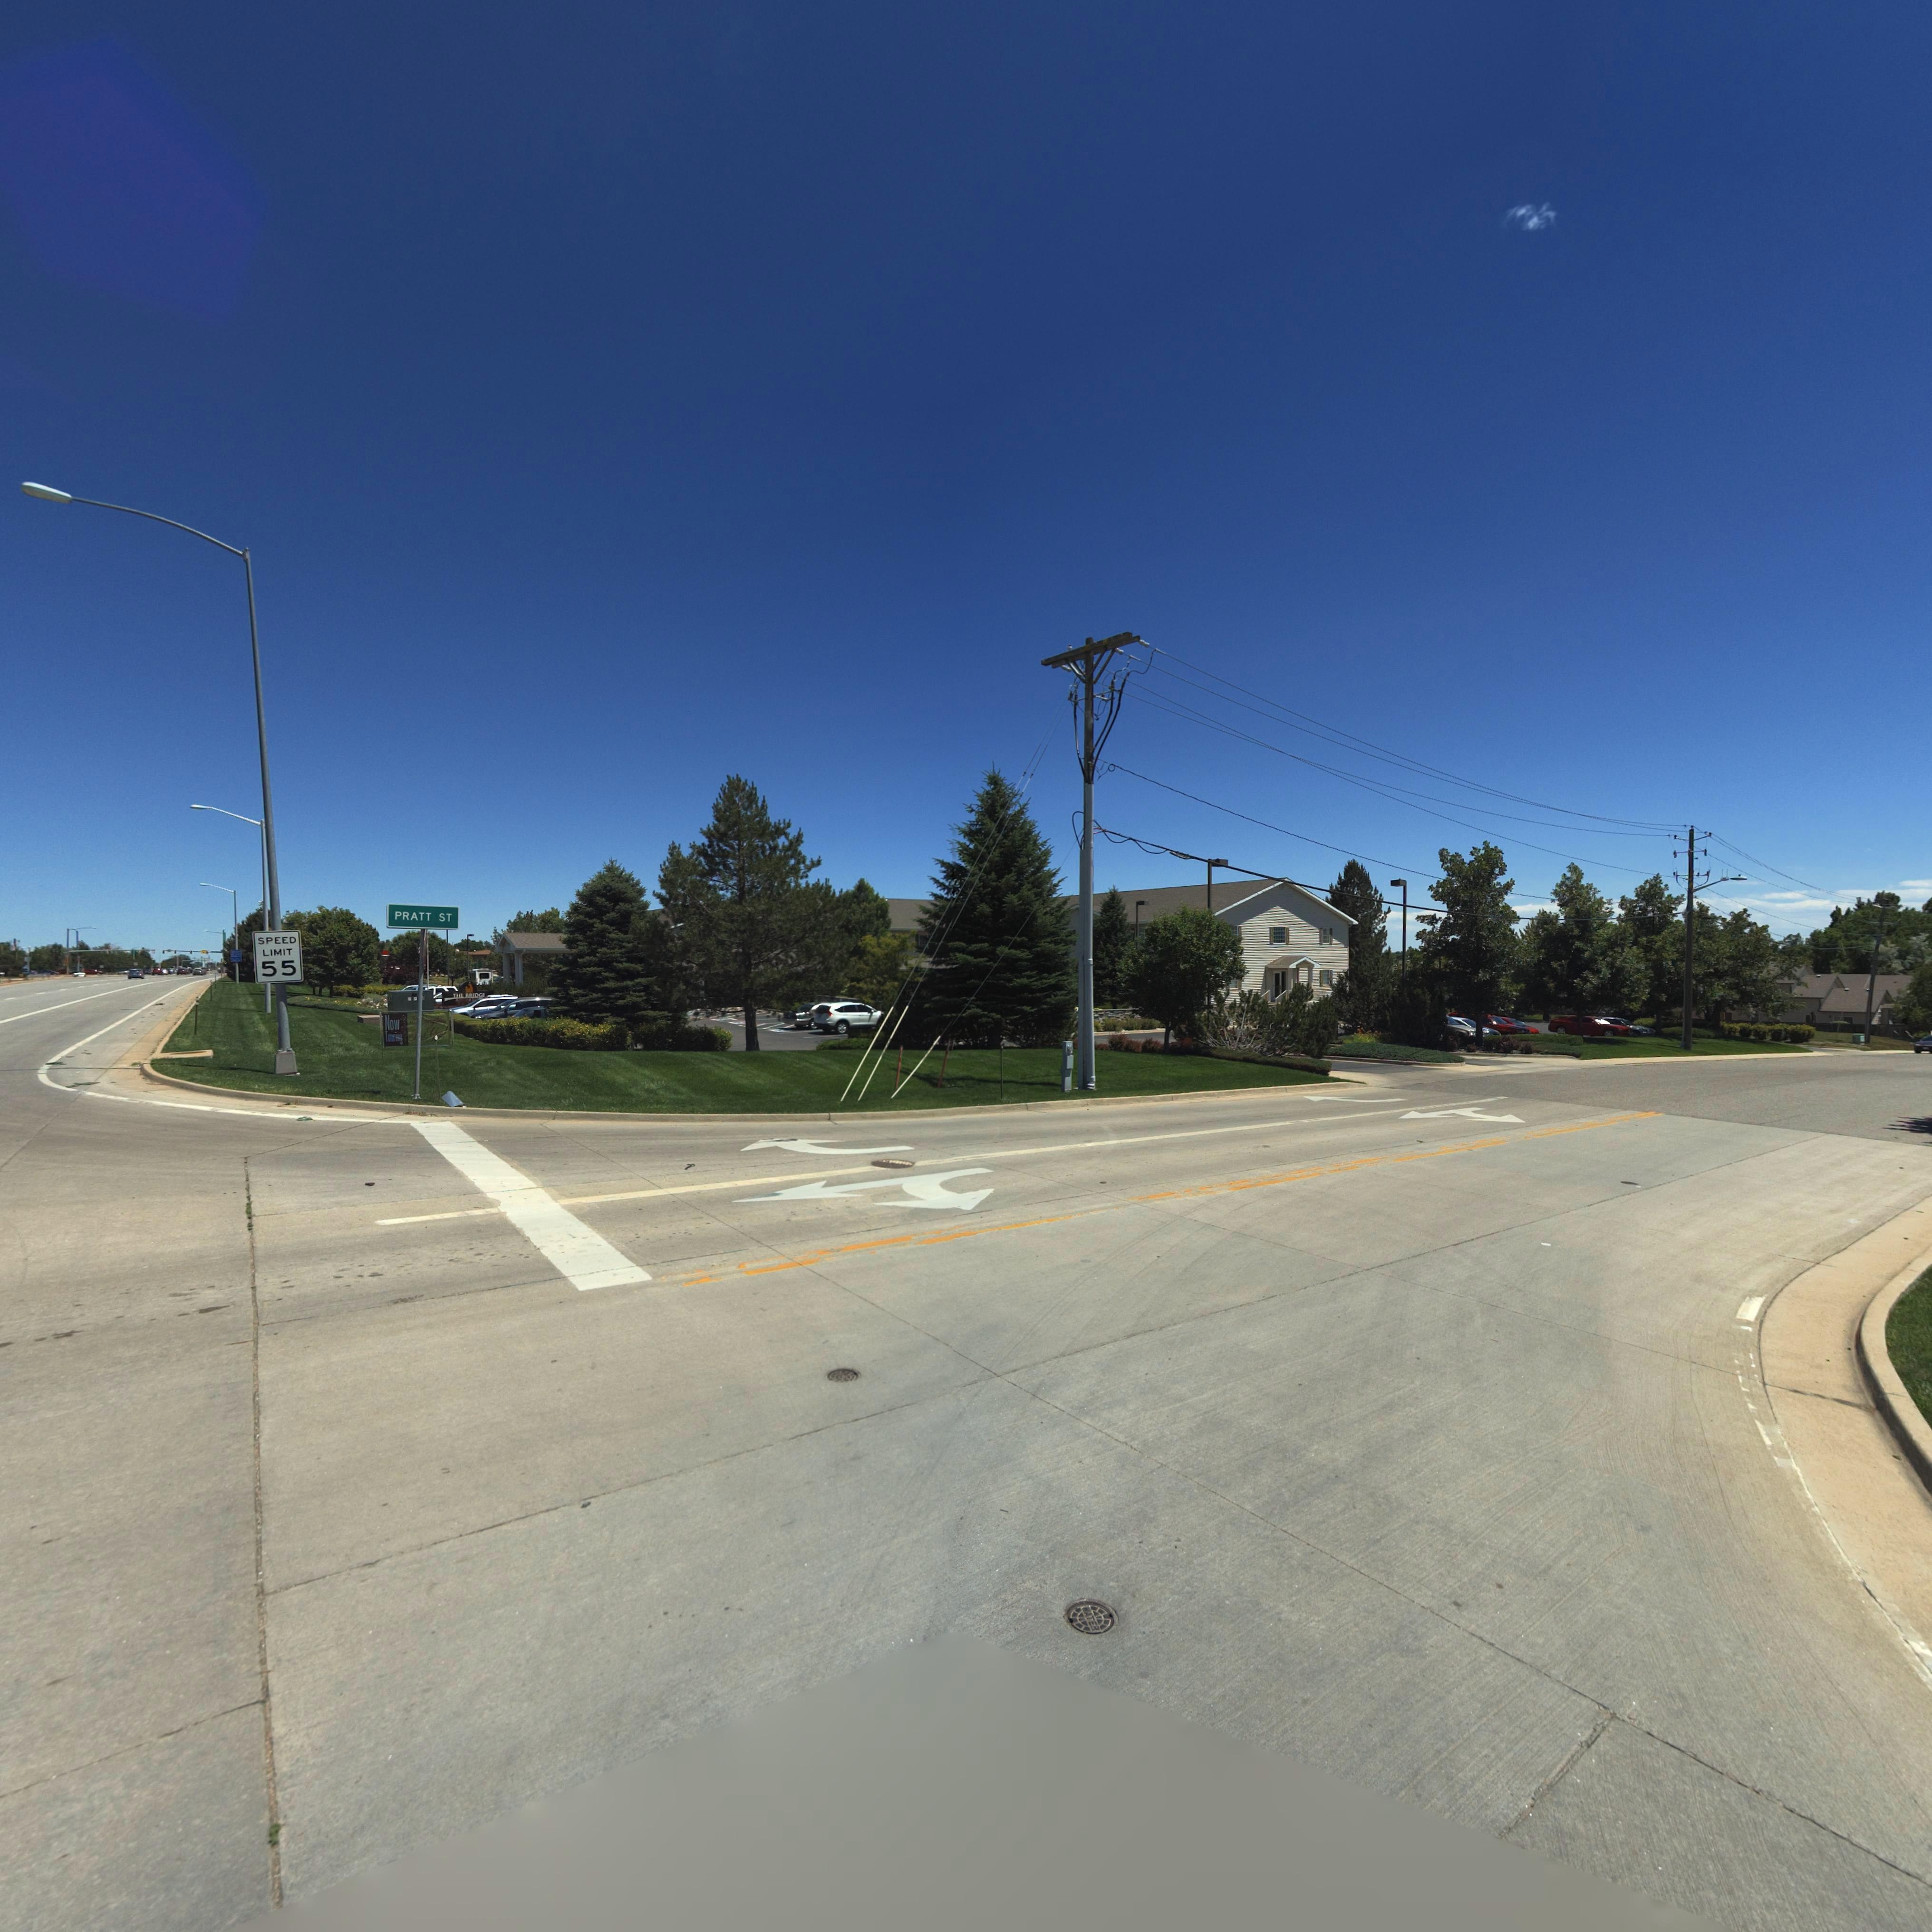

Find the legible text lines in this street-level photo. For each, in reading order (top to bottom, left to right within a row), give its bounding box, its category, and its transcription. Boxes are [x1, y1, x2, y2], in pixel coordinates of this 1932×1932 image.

[394, 910, 452, 922] StreetName: PRATT ST
[452, 992, 485, 998] BusinessName: THE BRIDGE